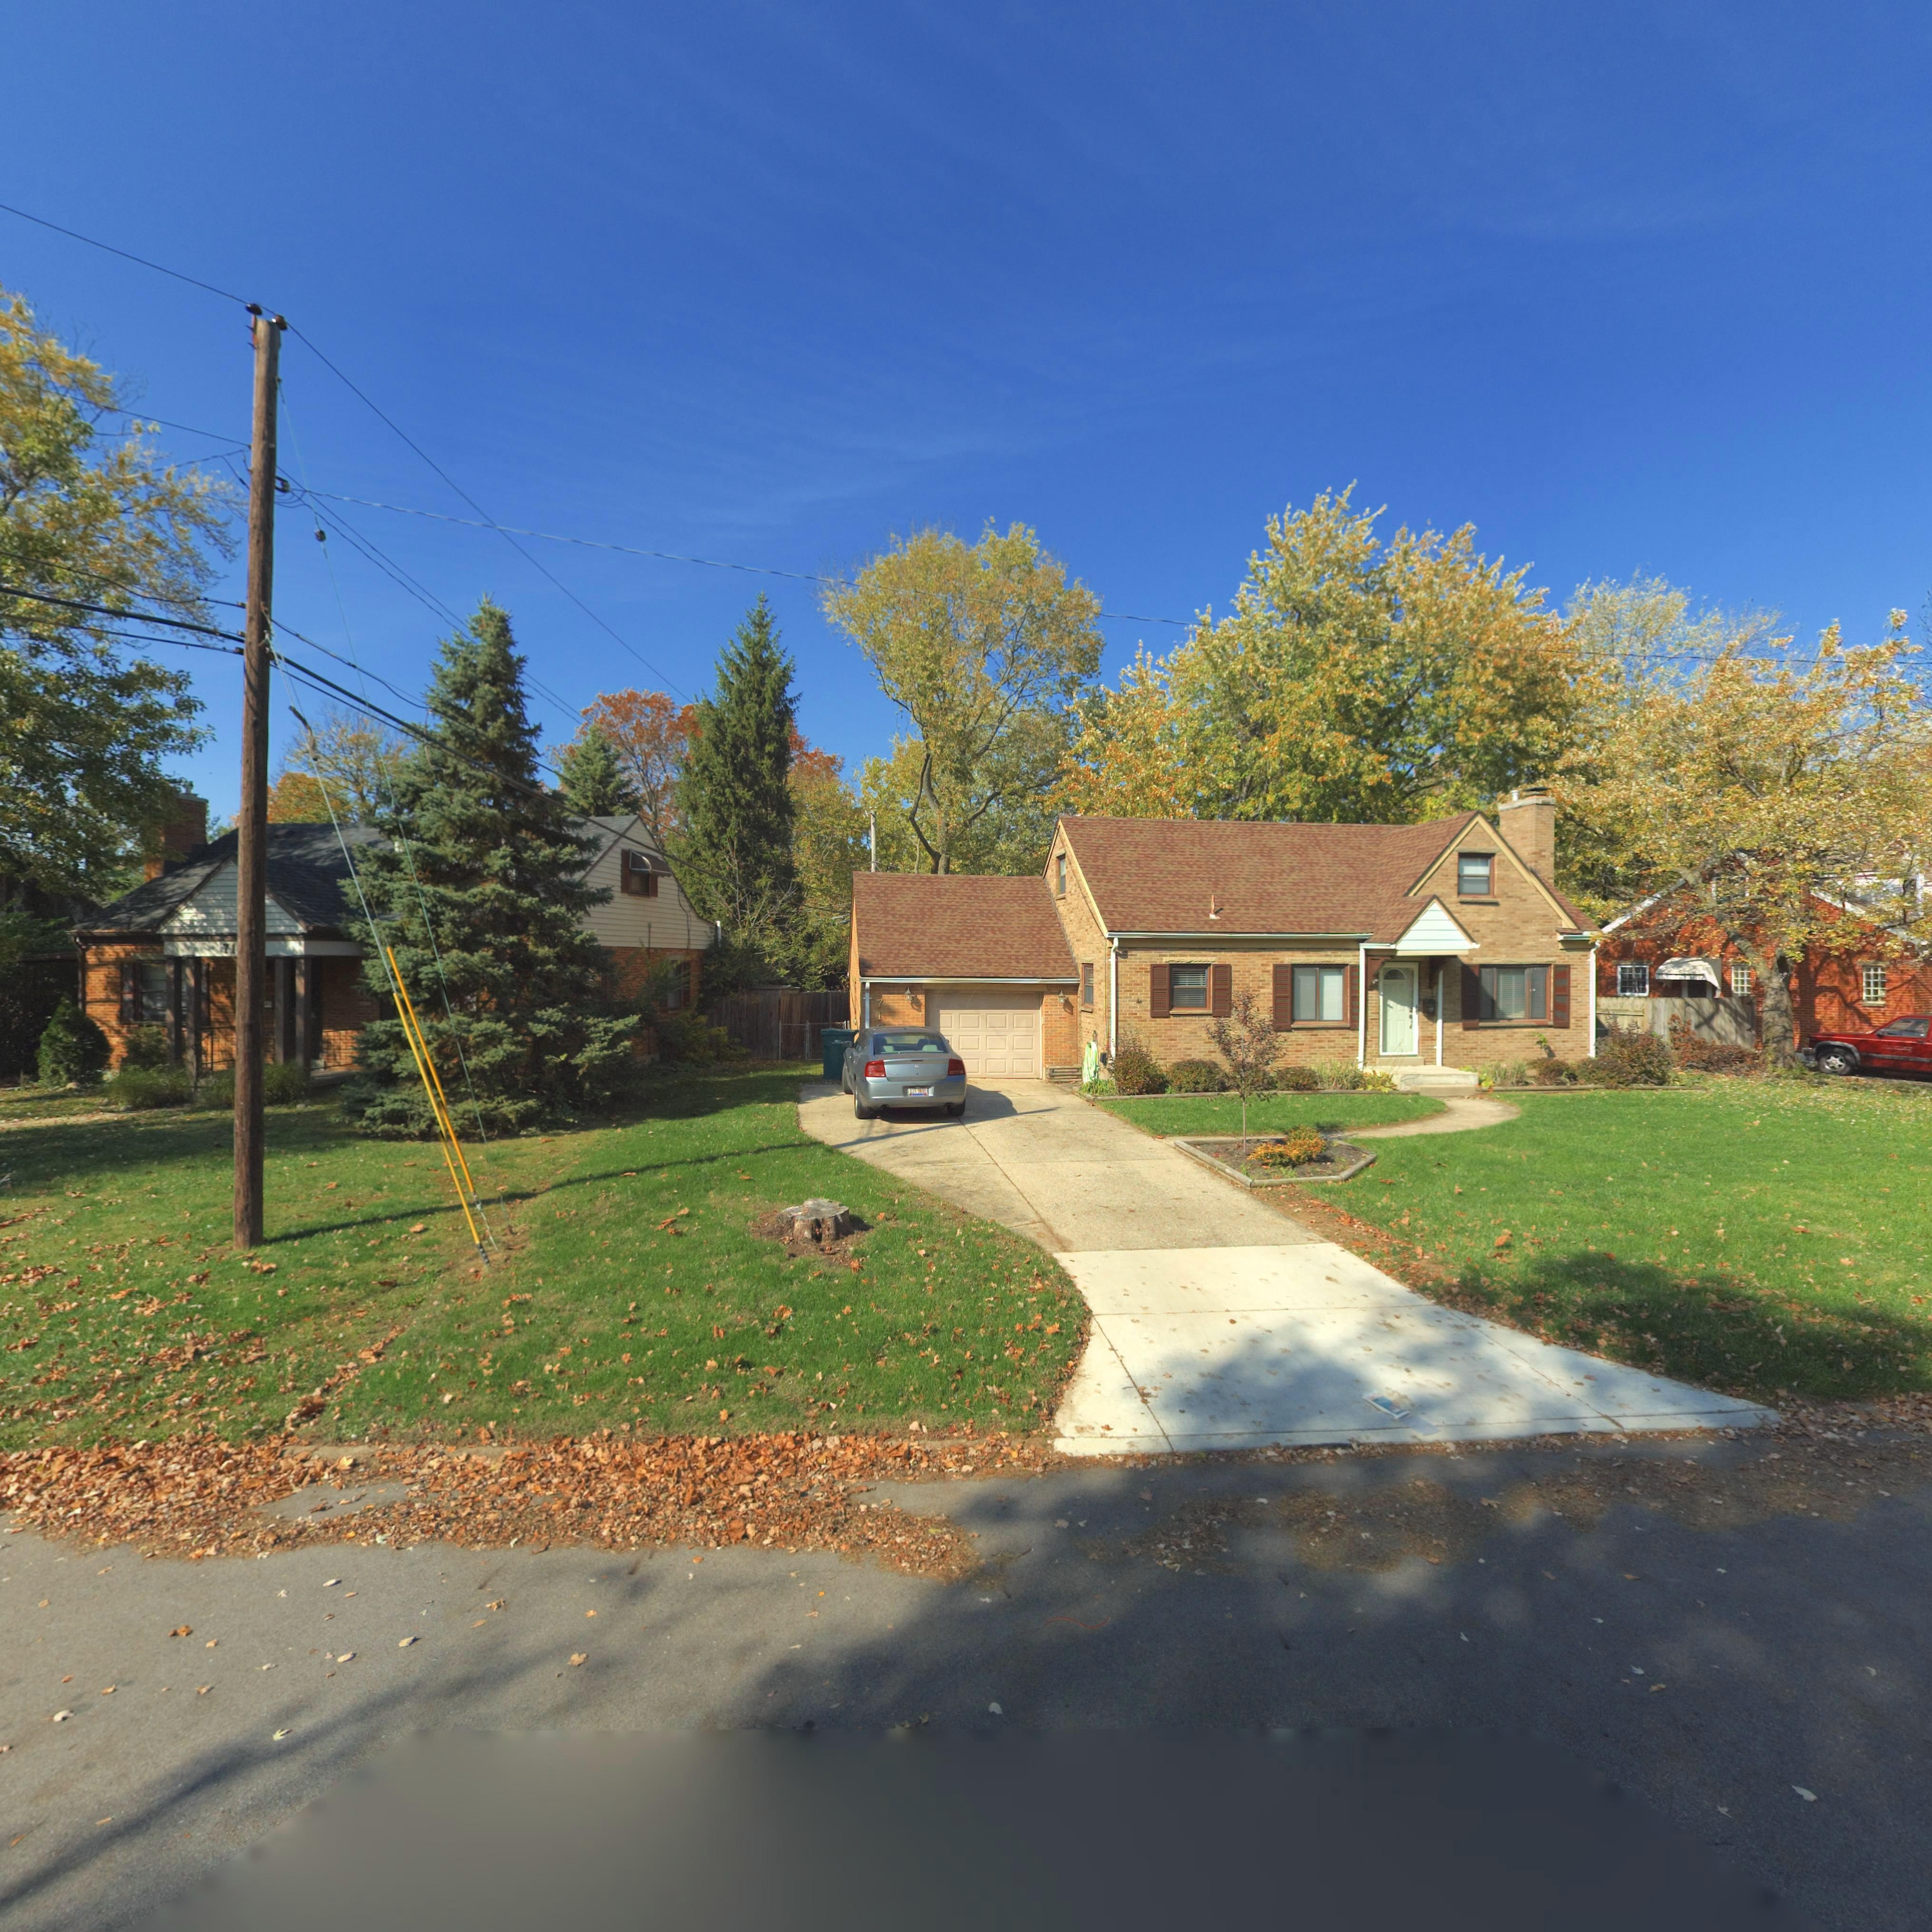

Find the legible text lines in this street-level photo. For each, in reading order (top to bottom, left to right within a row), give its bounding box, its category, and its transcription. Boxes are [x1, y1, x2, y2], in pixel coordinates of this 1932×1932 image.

[221, 942, 237, 956] StreetNumber: 71
[876, 998, 883, 1021] StreetNumber: 71